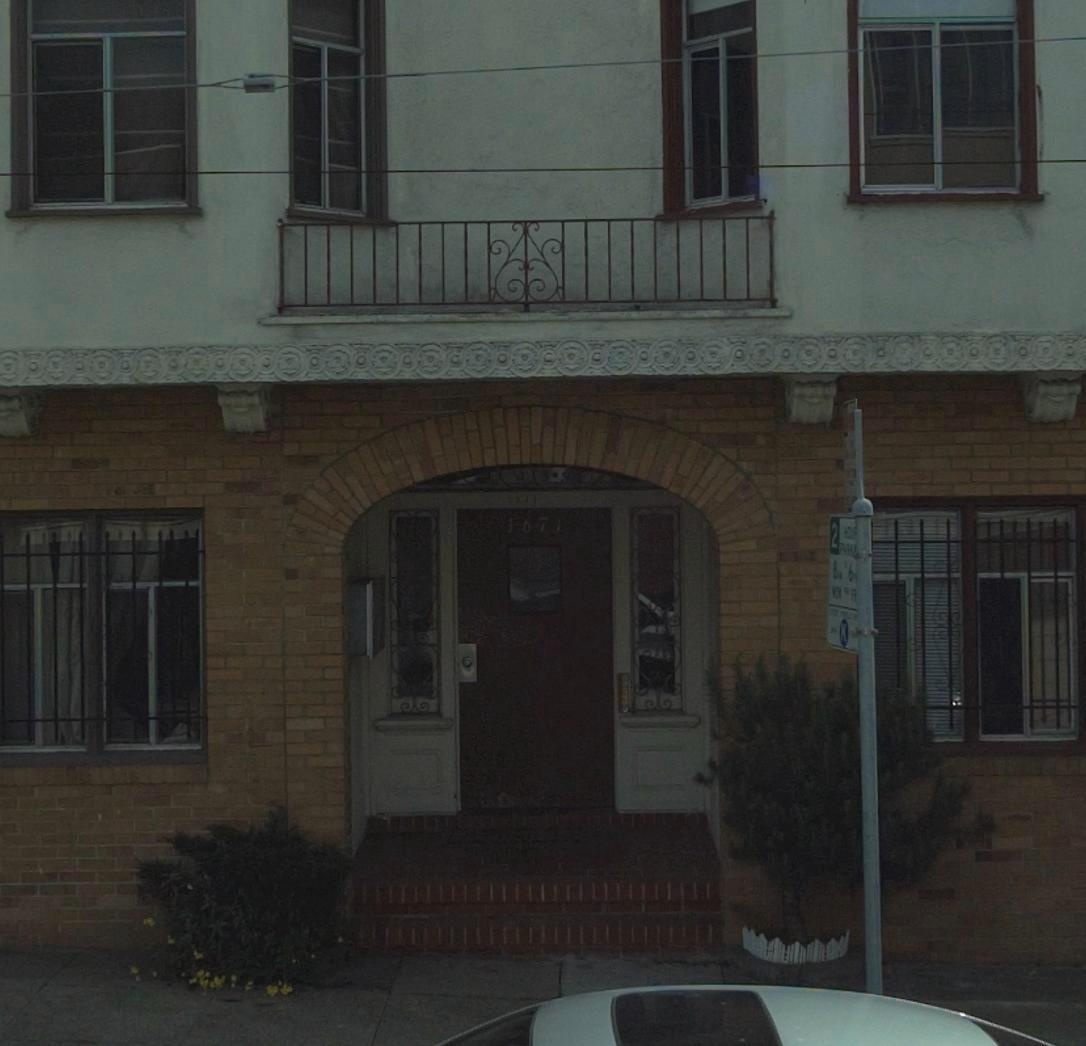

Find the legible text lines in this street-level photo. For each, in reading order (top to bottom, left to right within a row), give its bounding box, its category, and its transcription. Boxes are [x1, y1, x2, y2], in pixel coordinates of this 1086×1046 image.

[503, 515, 564, 536] StreetNumber: 1671
[829, 519, 841, 551] None: 2
[830, 557, 841, 584] None: 8
[845, 560, 856, 585] None: 6
[838, 619, 850, 645] None: K